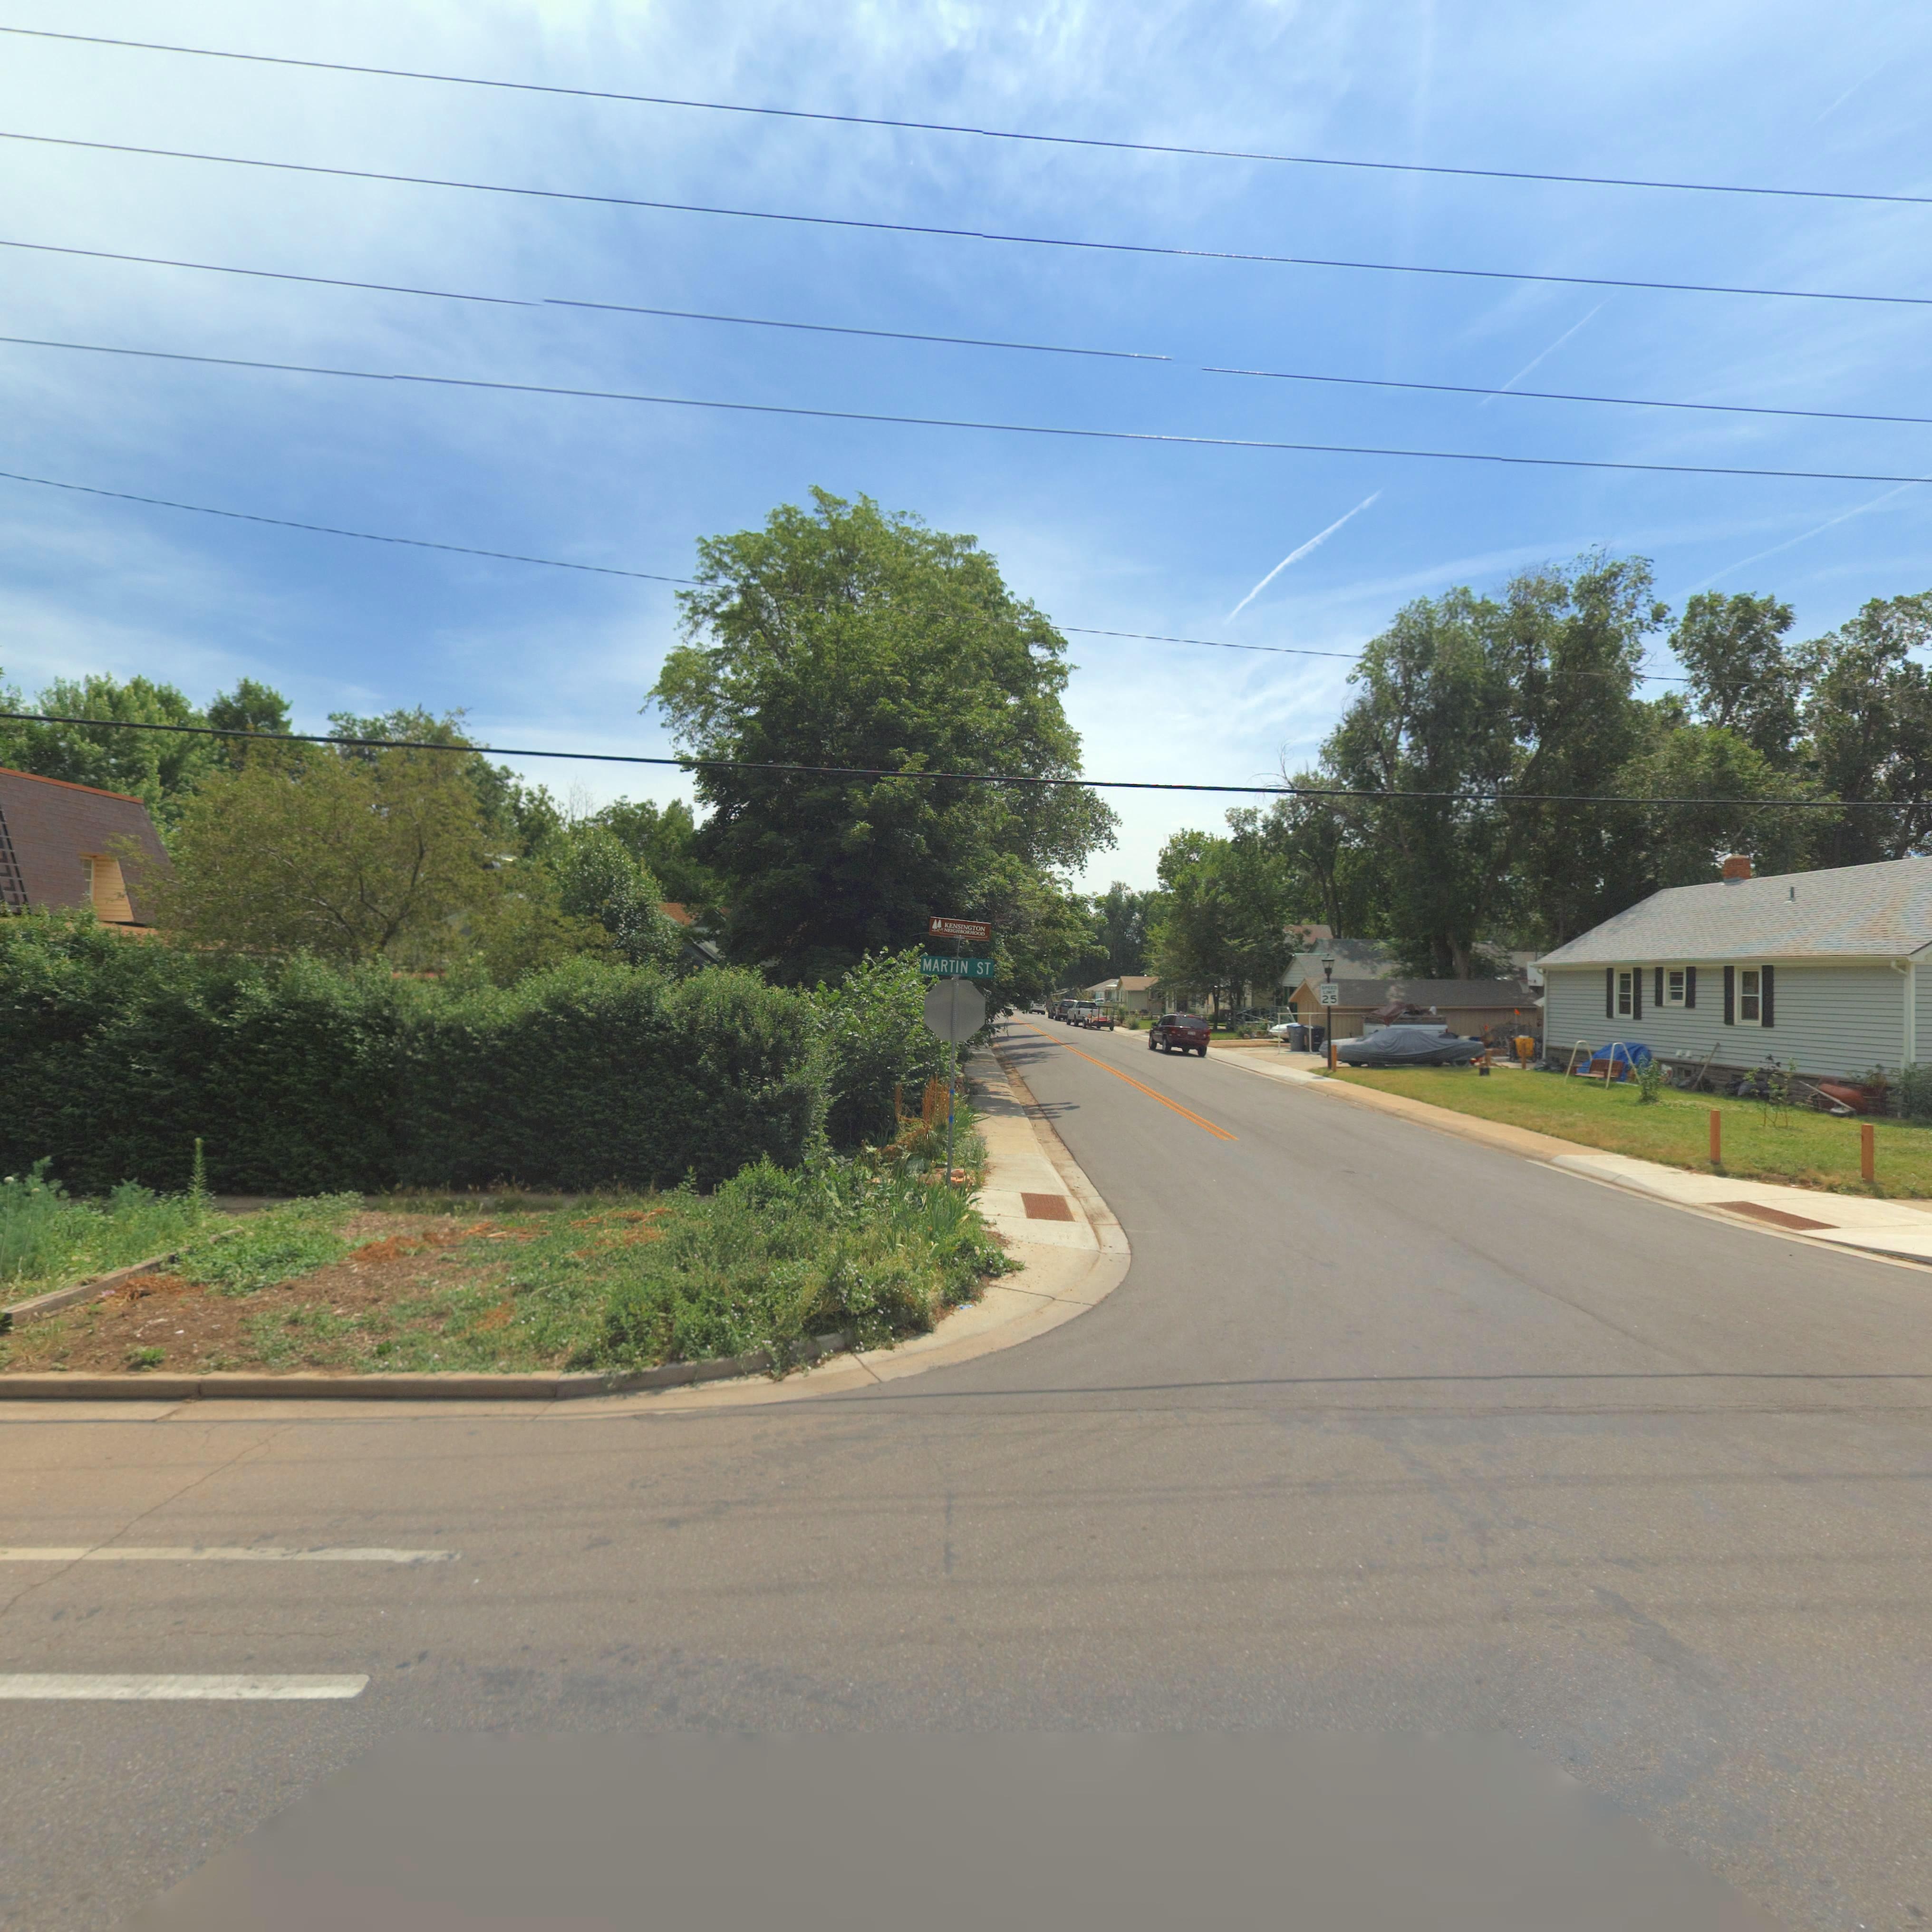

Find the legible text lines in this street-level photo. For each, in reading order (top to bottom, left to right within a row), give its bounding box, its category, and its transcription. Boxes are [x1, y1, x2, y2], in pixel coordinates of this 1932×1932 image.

[922, 958, 991, 976] StreetName: MARTIN ST